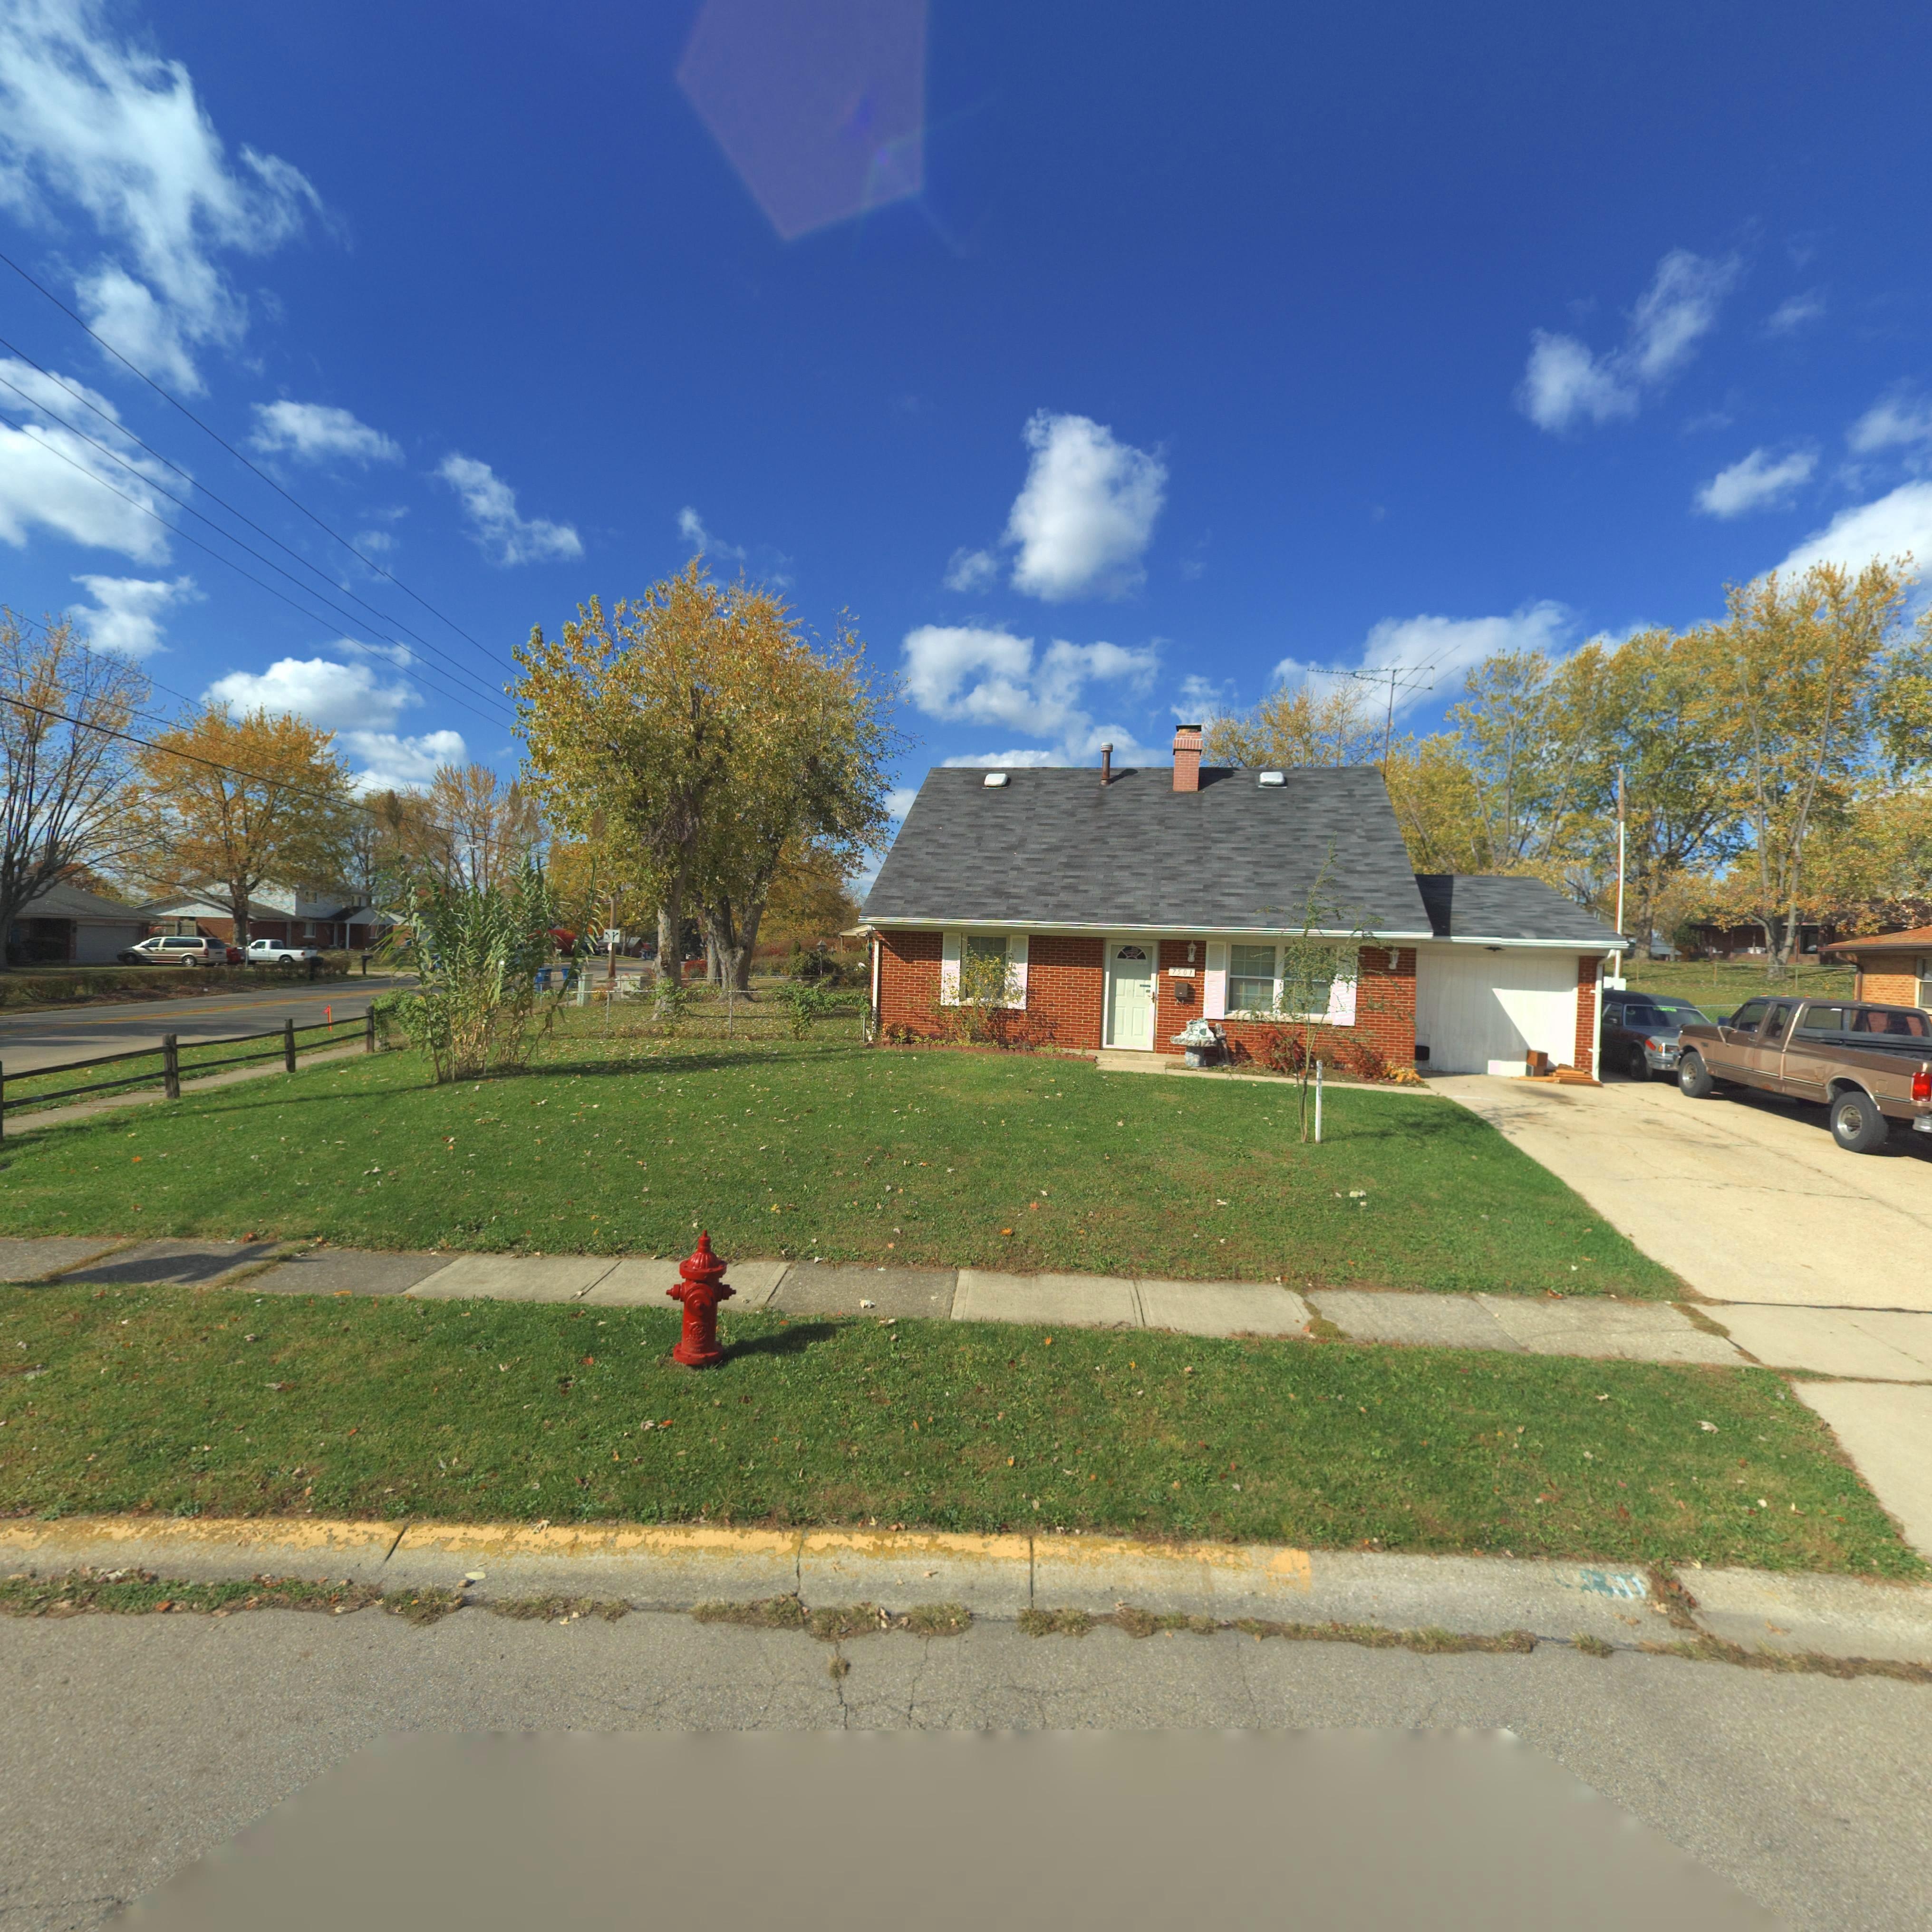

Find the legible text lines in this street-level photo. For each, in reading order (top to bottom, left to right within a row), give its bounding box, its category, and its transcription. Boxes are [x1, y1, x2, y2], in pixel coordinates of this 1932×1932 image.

[1172, 968, 1193, 976] StreetNumber: 7507